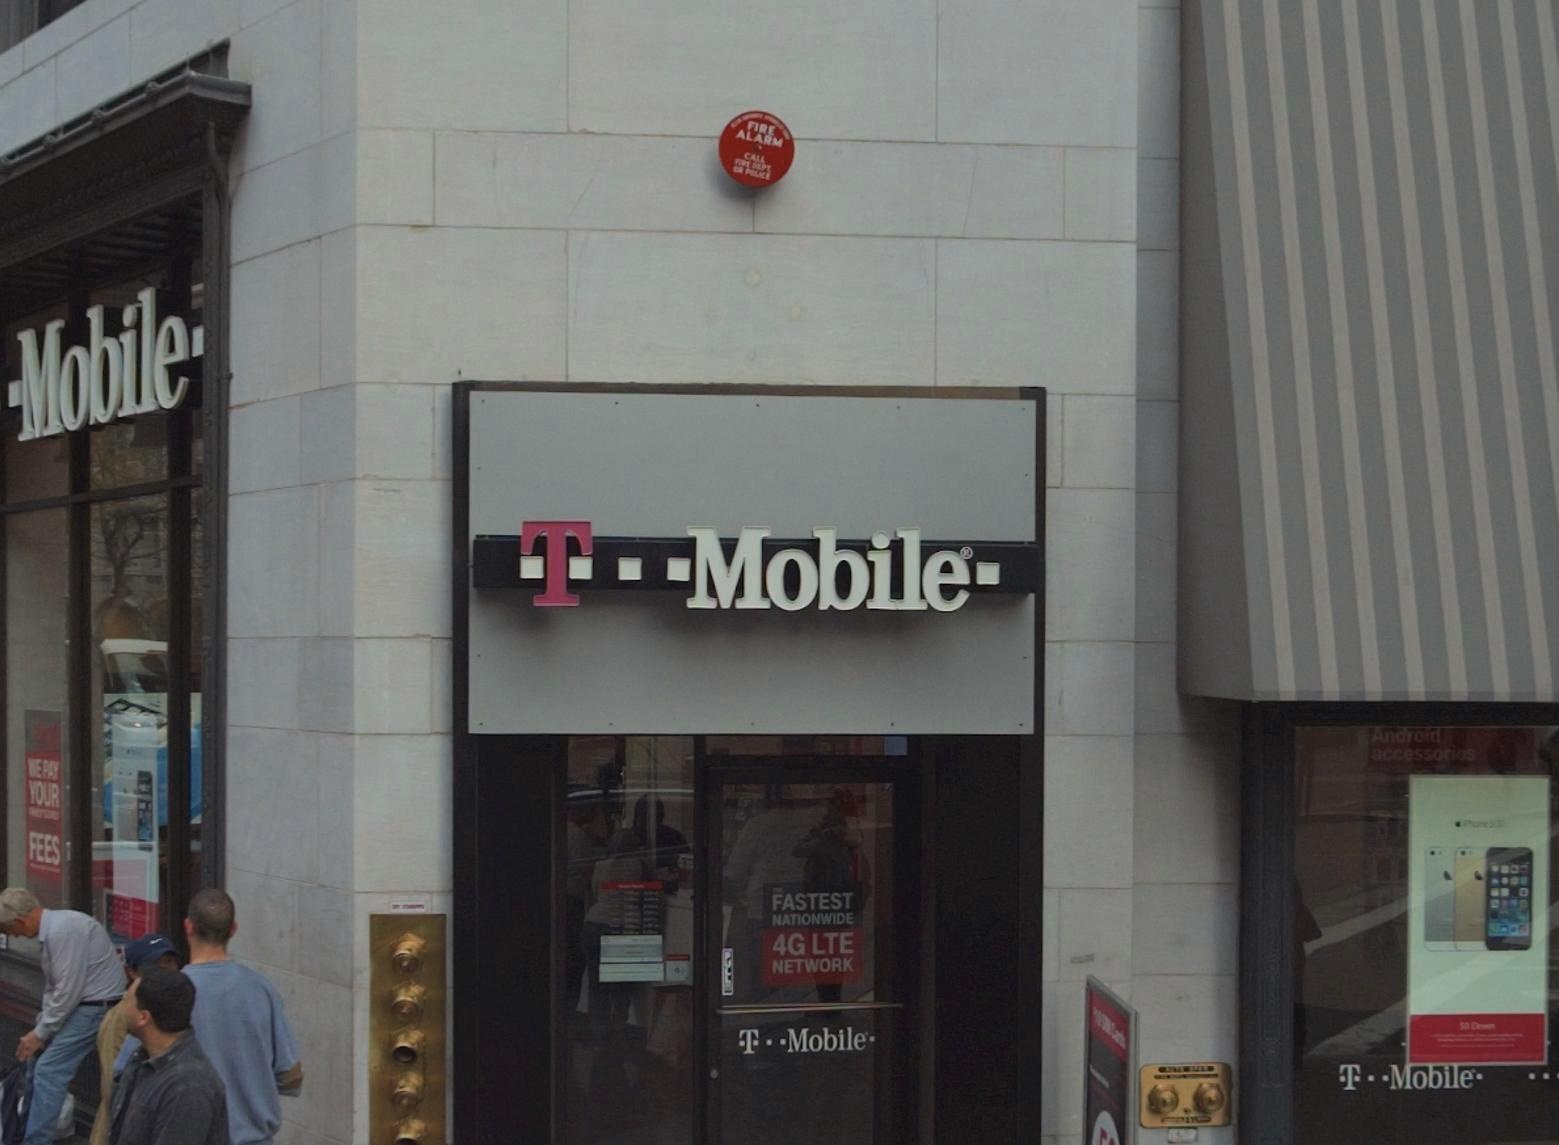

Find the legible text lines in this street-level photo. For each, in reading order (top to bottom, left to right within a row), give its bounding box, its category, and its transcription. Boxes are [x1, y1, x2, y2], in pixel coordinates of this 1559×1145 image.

[730, 125, 786, 152] None: ALARM
[743, 116, 778, 138] None: FIRE
[740, 148, 769, 167] None: CALL
[9, 278, 201, 452] BusinessName: Mobile
[516, 519, 975, 617] BusinessName: T Mobile
[1367, 722, 1445, 746] None: Android
[25, 755, 62, 782] None: WE PAY
[1369, 746, 1478, 764] None: accessories
[25, 777, 63, 811] None: YOUR
[26, 827, 64, 870] None: FEES
[769, 890, 857, 913] None: FASTEST
[770, 910, 856, 928] None: NATIONWIDE
[767, 929, 859, 958] None: 4G LTE
[722, 949, 733, 984] None: PULL
[770, 955, 856, 976] None: NETWORK
[736, 1022, 868, 1058] BusinessName: T Mobile
[1336, 1061, 1477, 1092] BusinessName: T Mobile